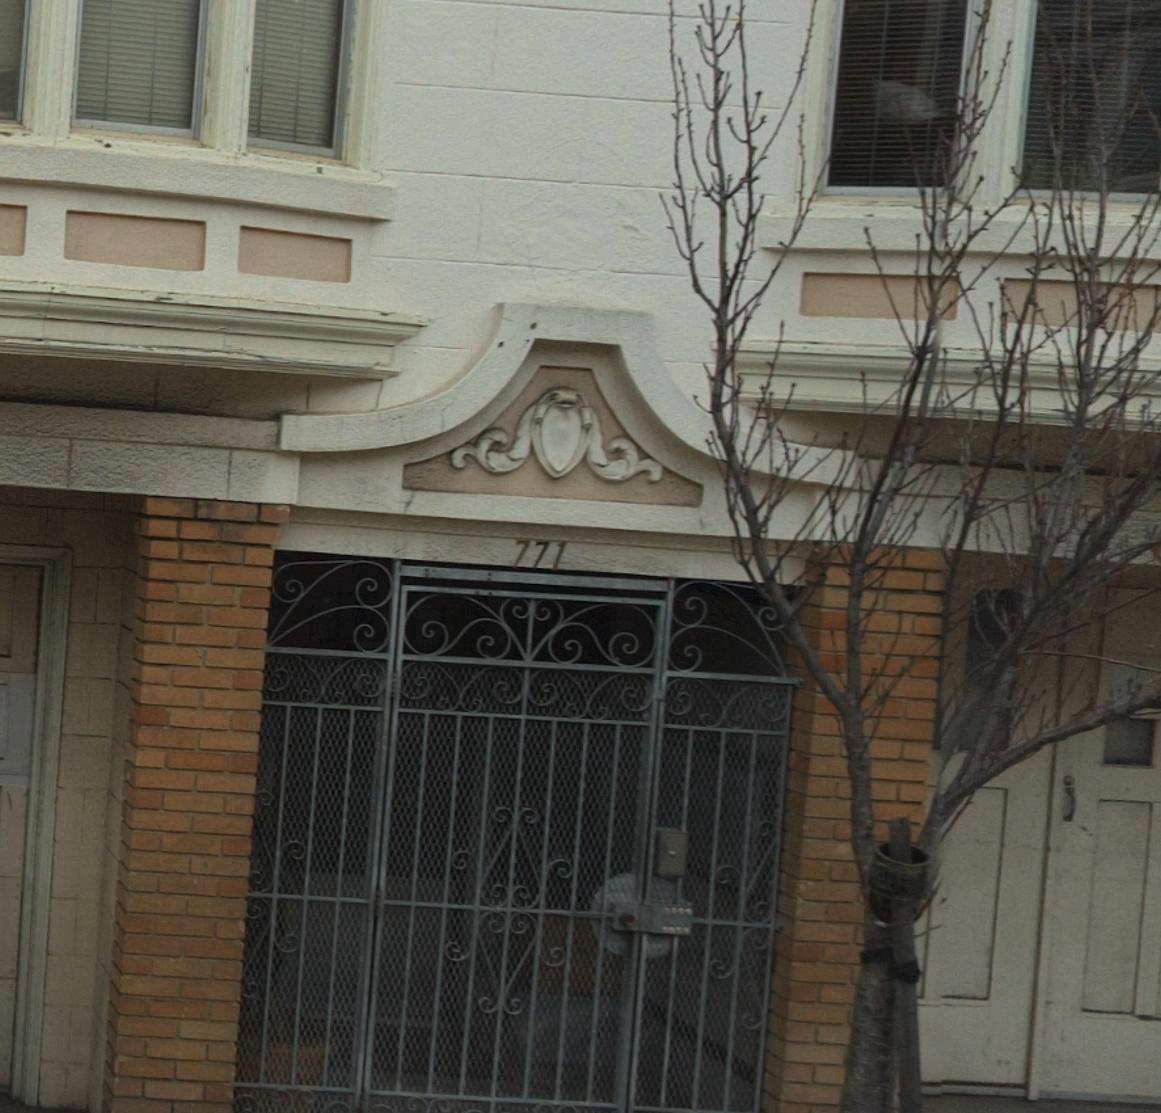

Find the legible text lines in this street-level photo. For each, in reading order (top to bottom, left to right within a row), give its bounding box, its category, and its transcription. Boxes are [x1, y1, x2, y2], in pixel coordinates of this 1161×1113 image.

[507, 538, 574, 571] StreetNumber: 771